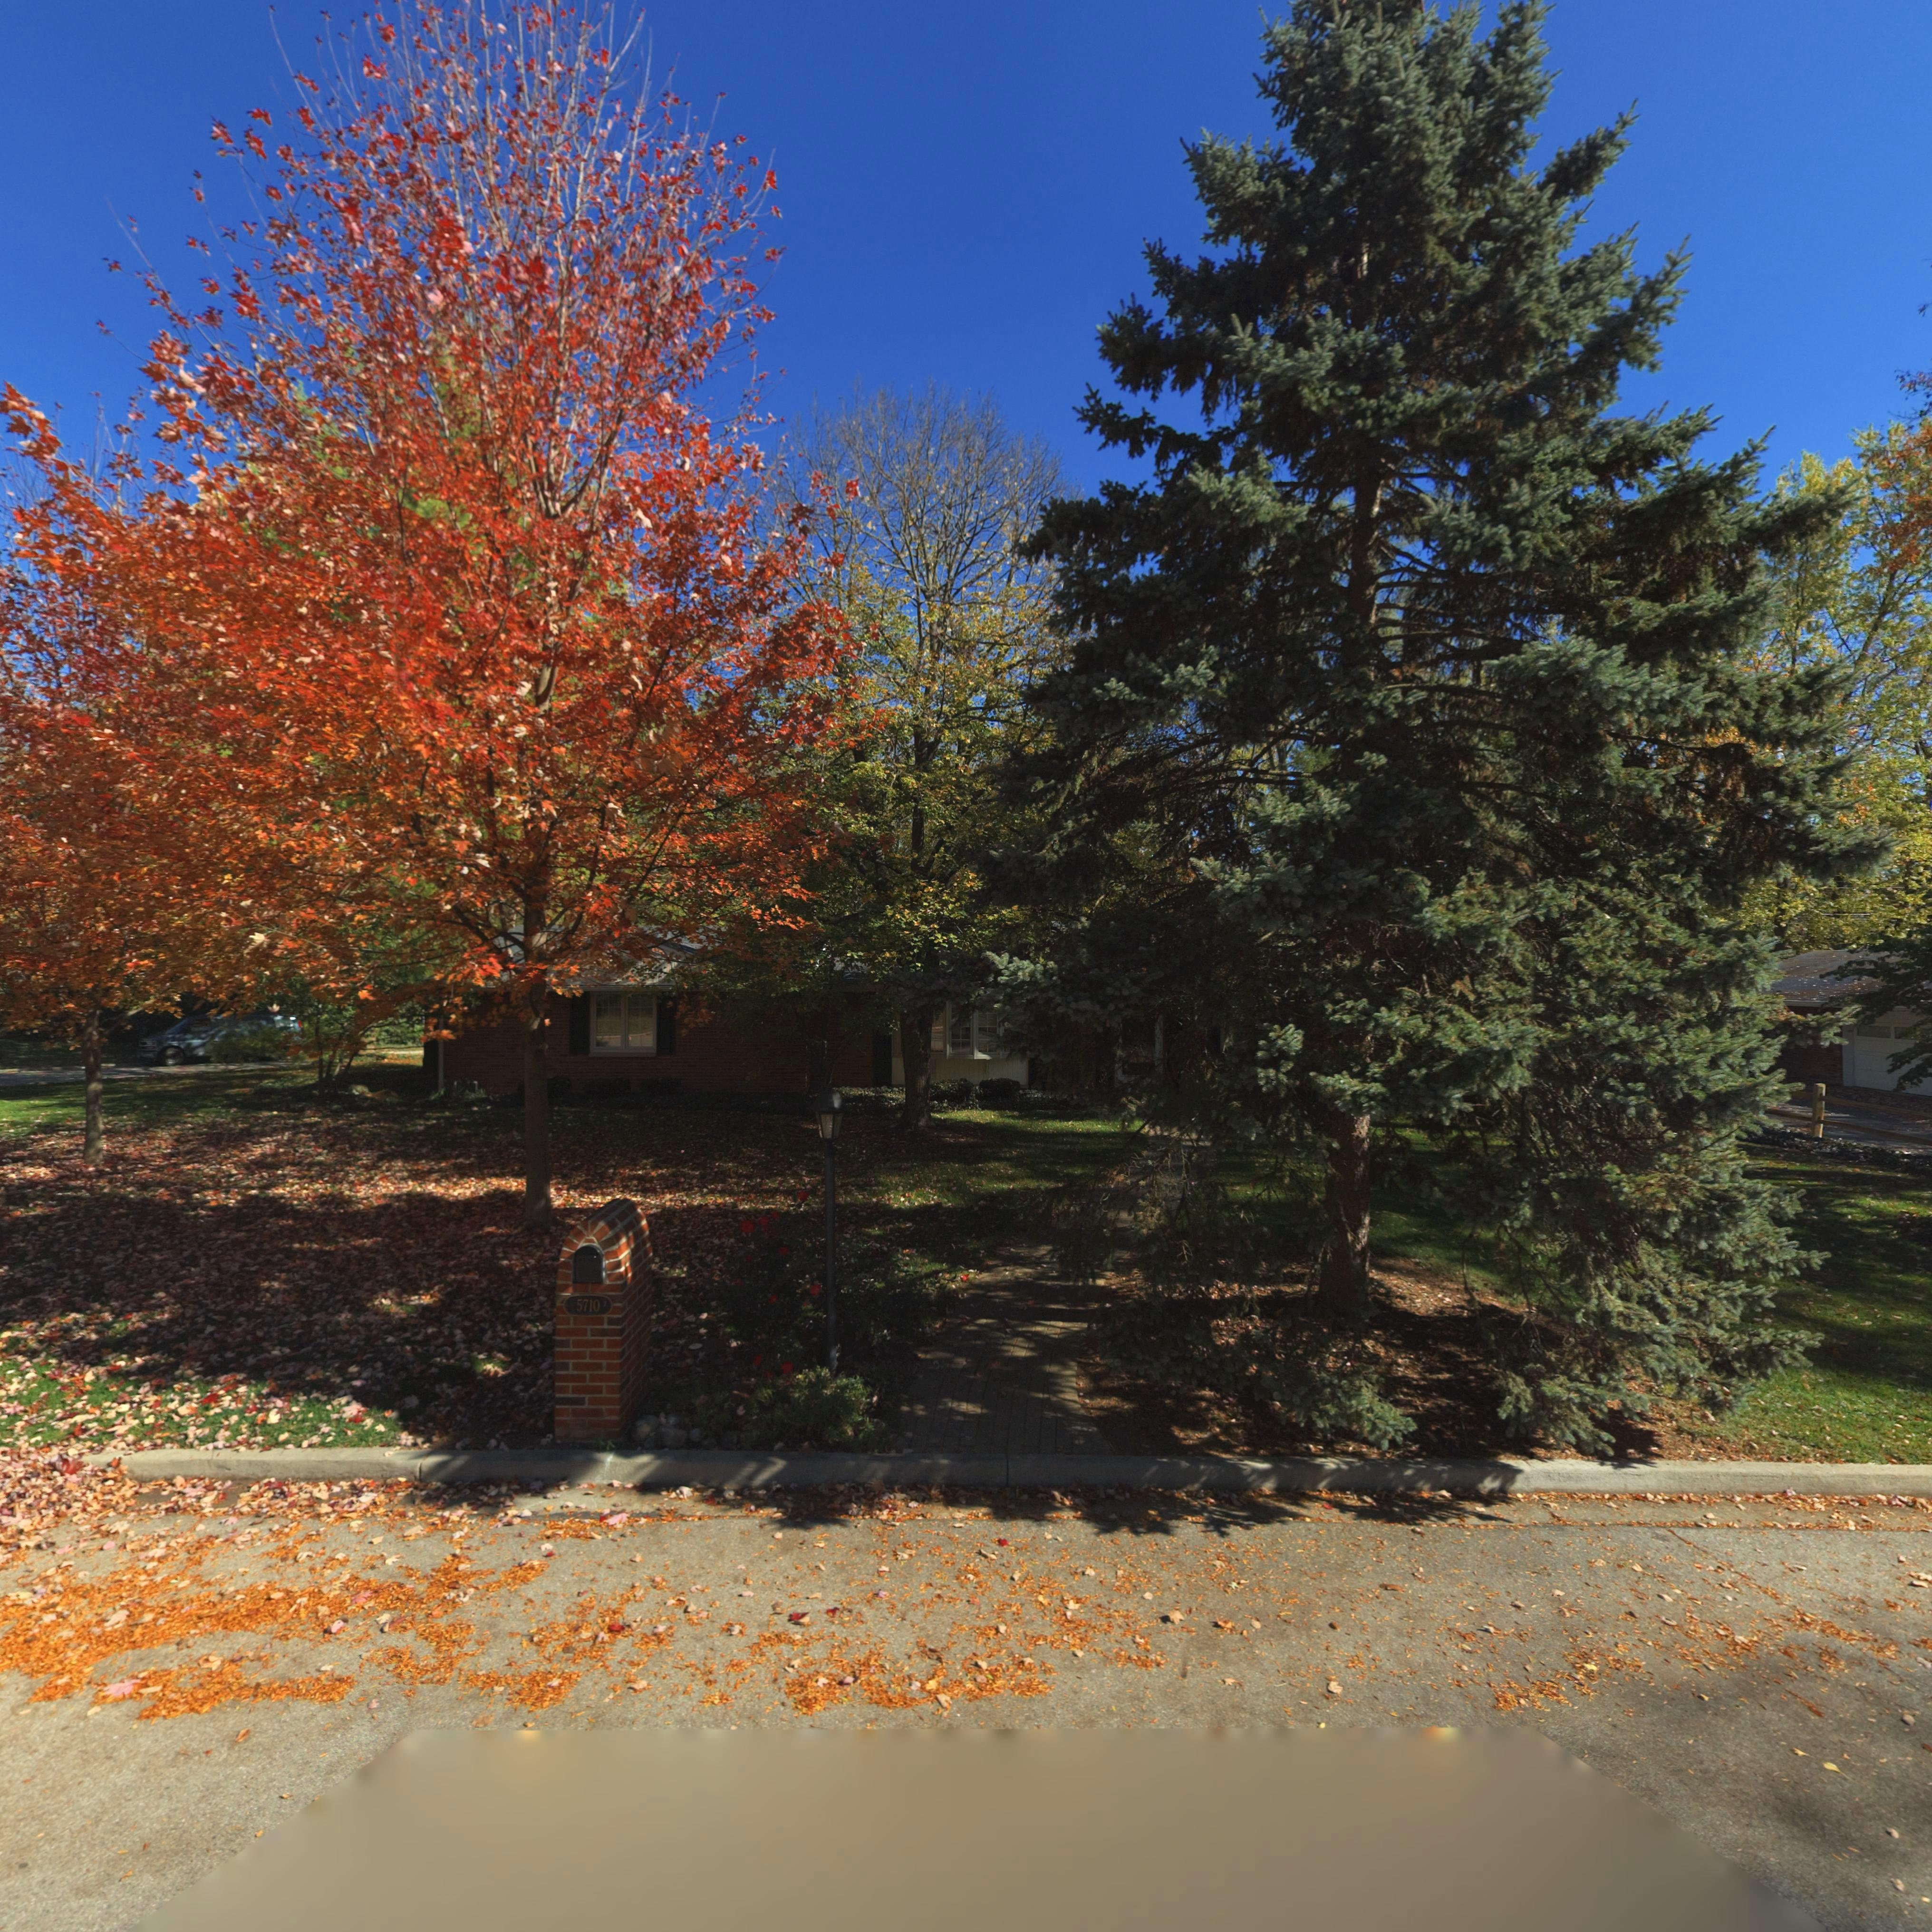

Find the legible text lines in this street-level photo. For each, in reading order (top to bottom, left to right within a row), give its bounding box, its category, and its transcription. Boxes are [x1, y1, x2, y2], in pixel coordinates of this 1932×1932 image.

[576, 1298, 600, 1313] StreetNumber: 5710